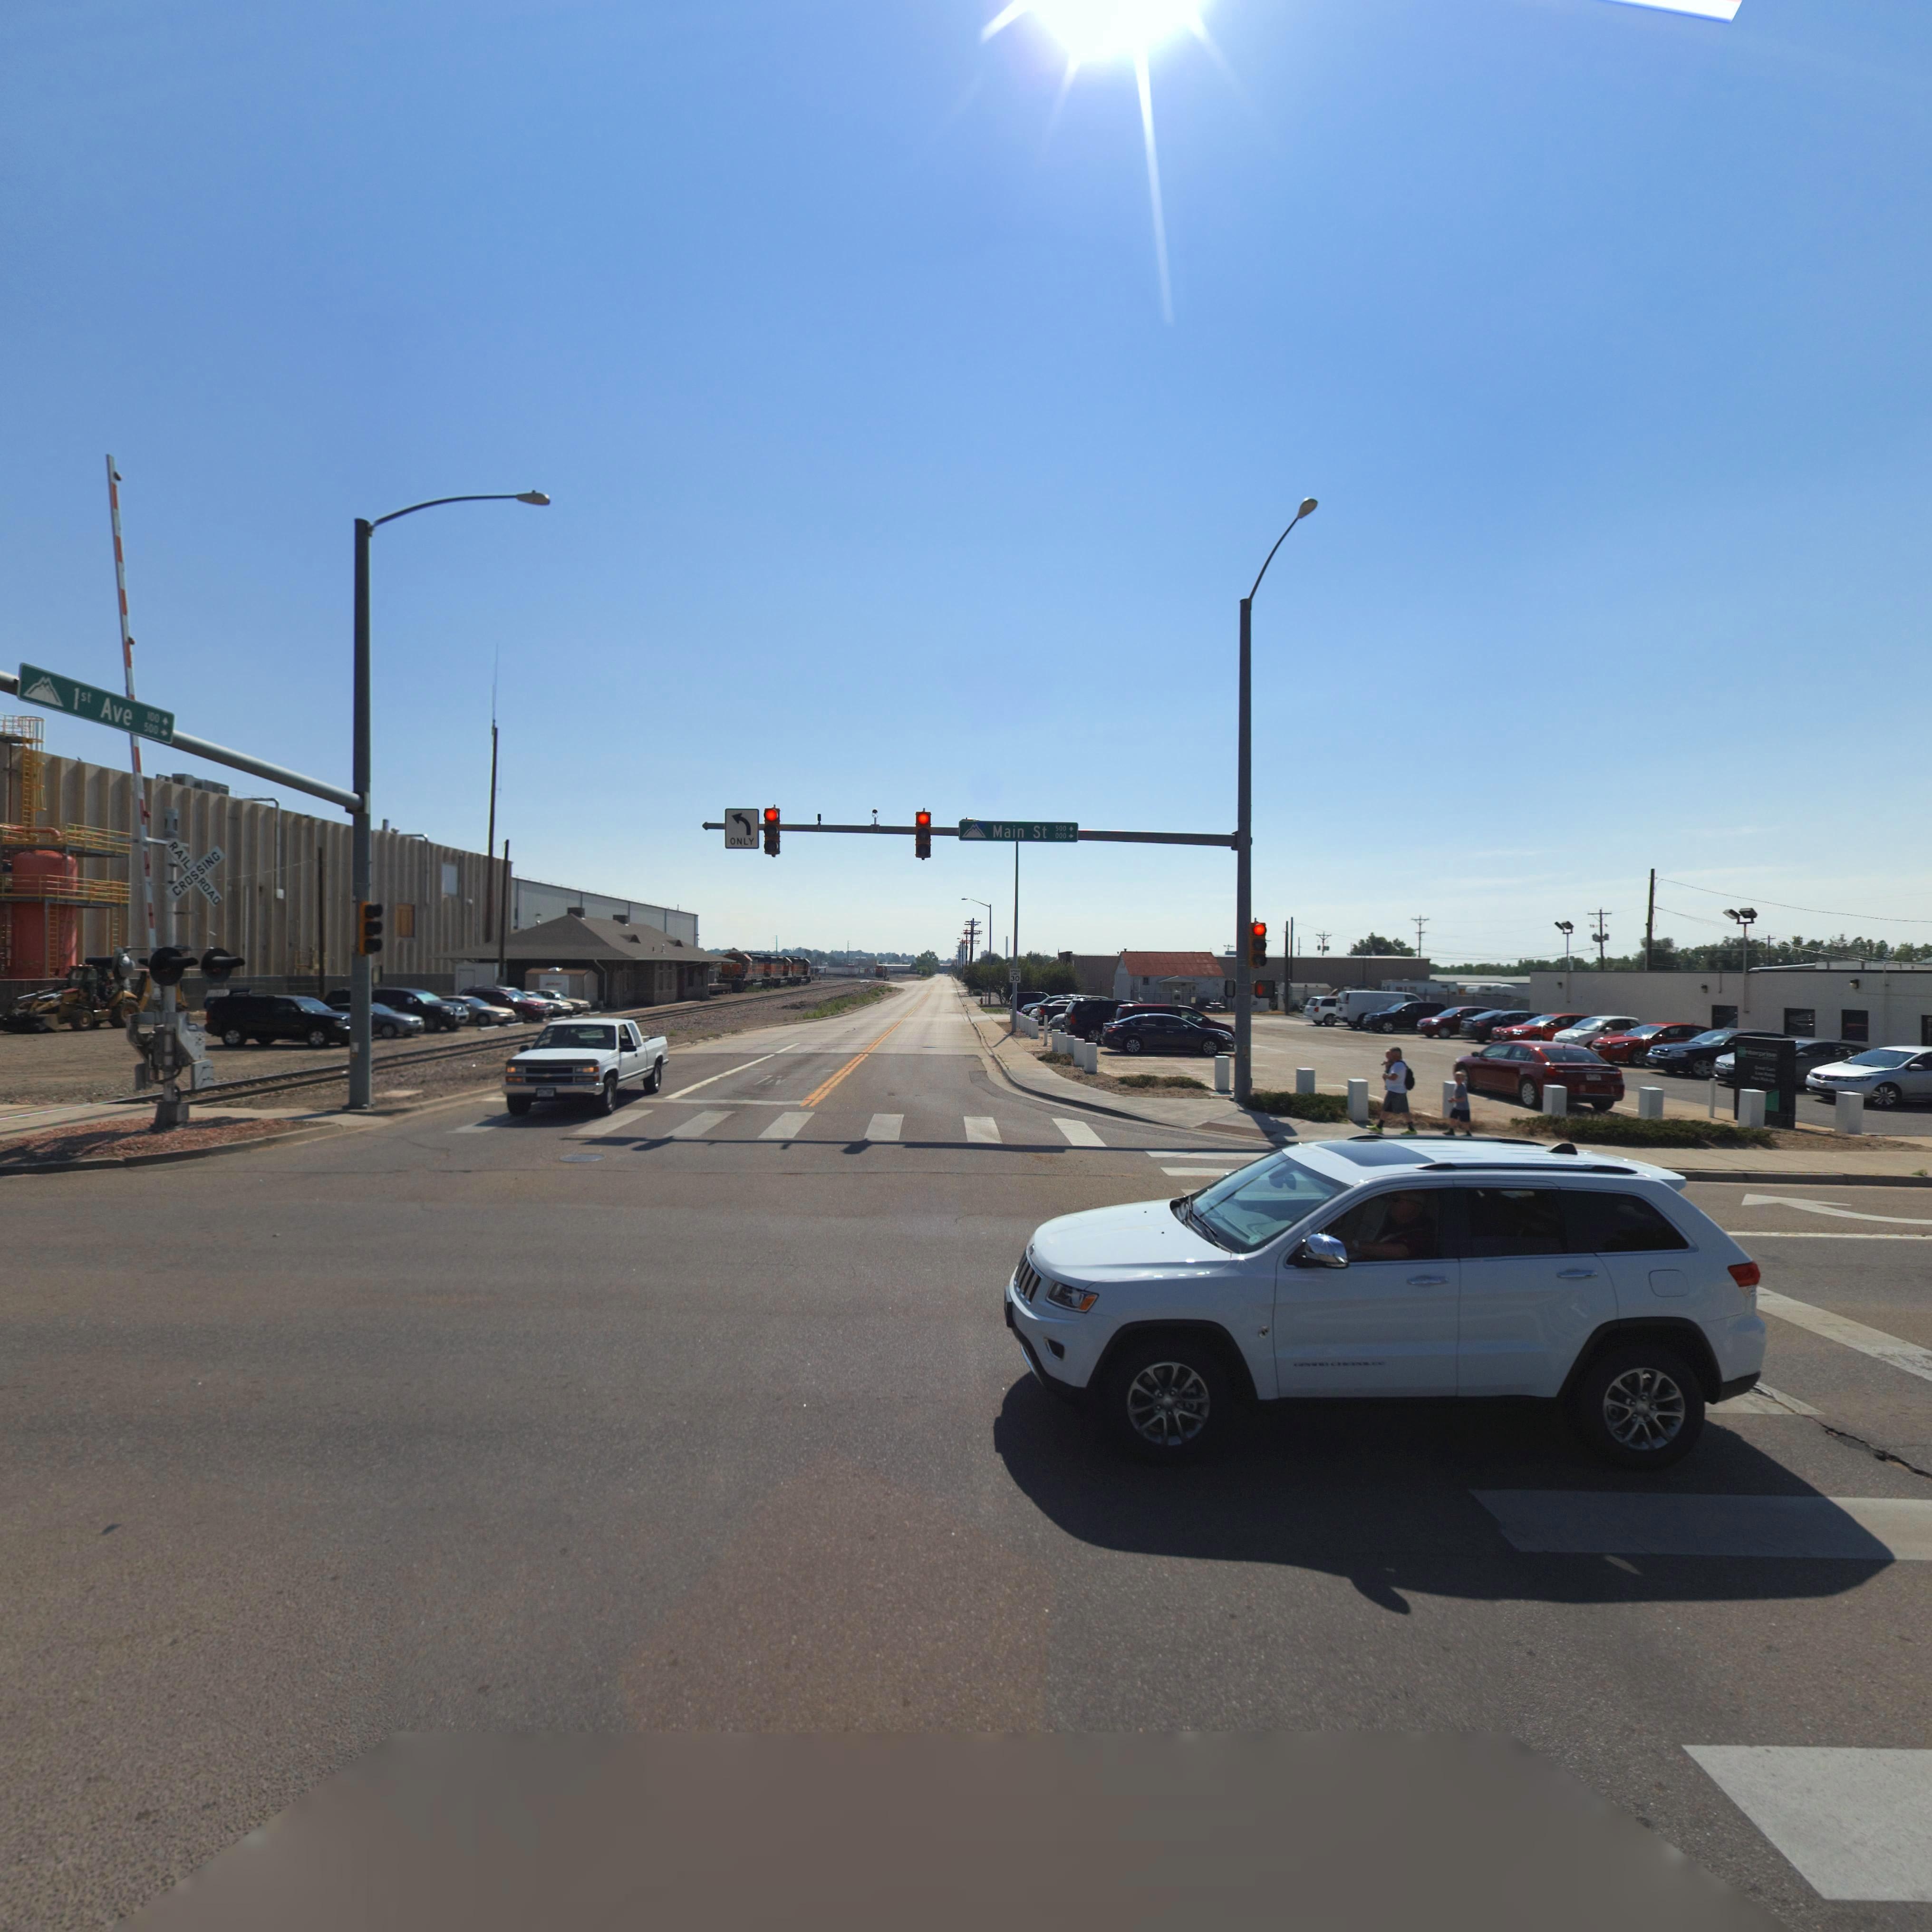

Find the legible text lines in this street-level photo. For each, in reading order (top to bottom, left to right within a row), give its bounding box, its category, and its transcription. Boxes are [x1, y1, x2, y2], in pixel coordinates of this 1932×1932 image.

[72, 686, 133, 726] StreetName: 1st Ave
[146, 710, 160, 724] StreetNumberRange: 100
[144, 721, 168, 738] StreetNumberRange: 500 ->
[993, 824, 1047, 839] StreetName: Main St
[1055, 825, 1066, 831] StreetNumberRange: 500
[1055, 832, 1073, 839] StreetNumberRange: 000 ->
[1739, 1049, 1777, 1058] BusinessName: *****pri**